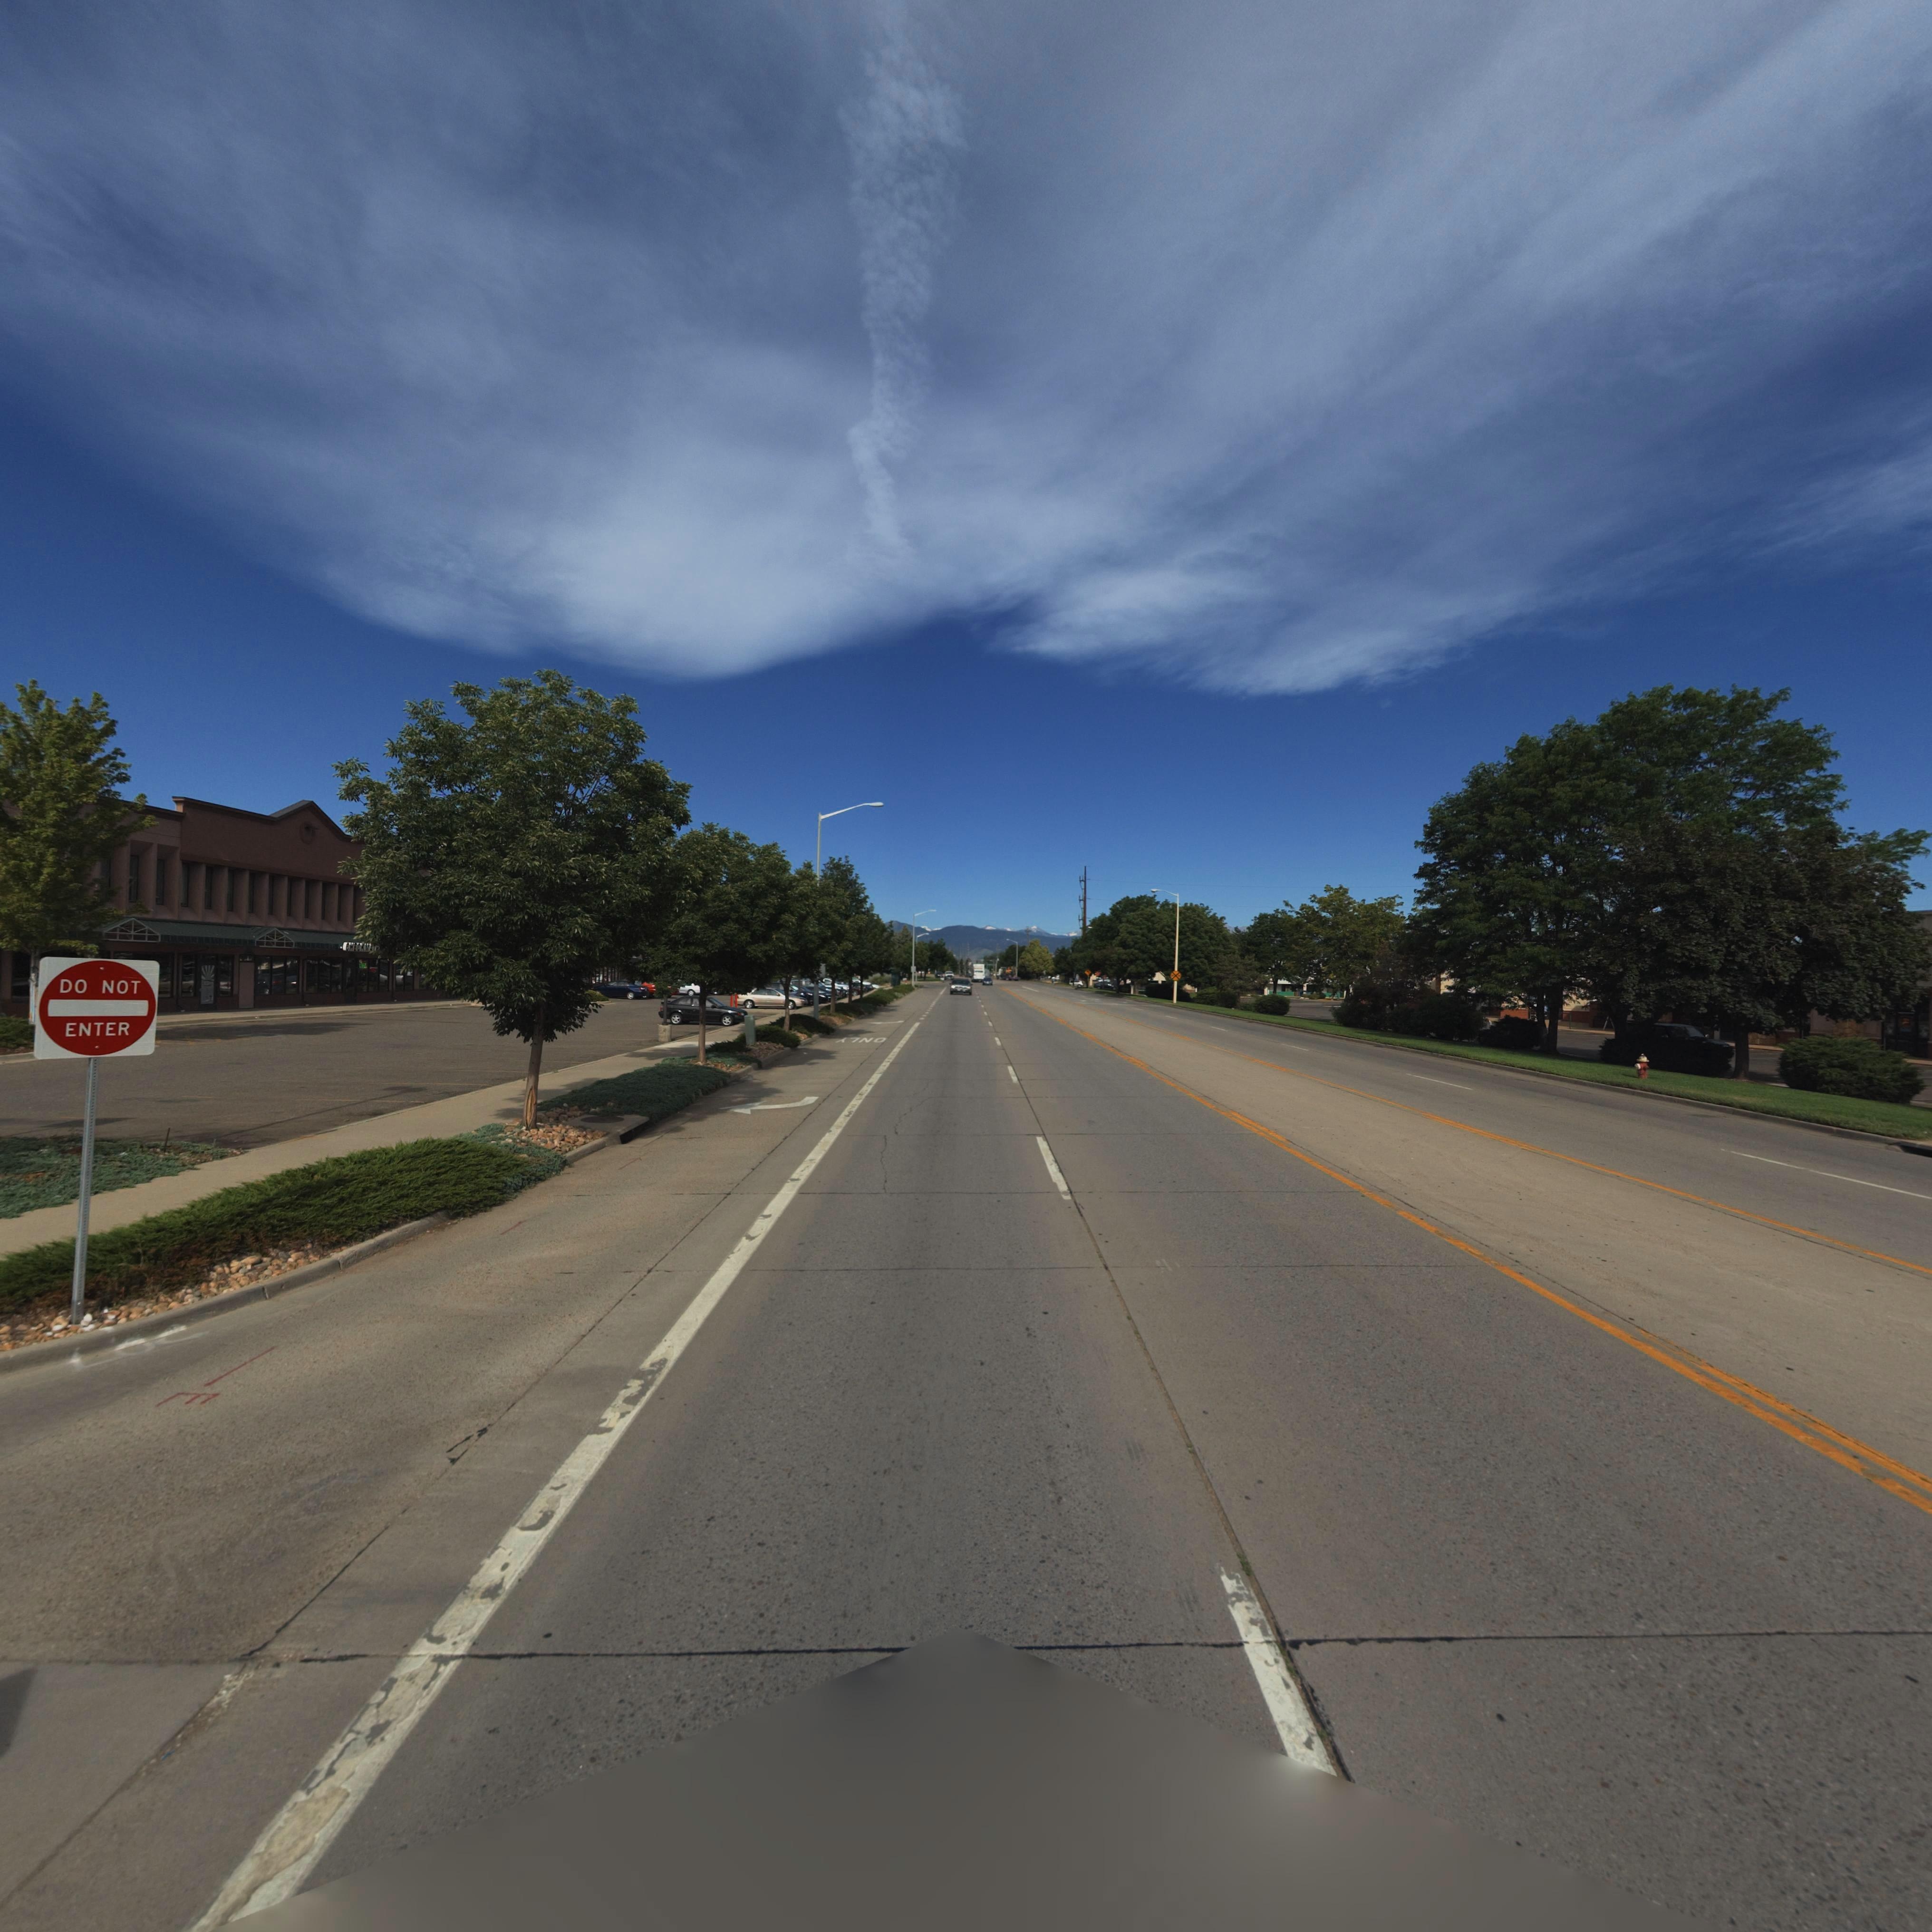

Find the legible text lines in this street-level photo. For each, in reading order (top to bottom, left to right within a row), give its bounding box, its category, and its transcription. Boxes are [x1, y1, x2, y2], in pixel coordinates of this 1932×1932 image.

[345, 941, 373, 952] BusinessName: CHECKMA